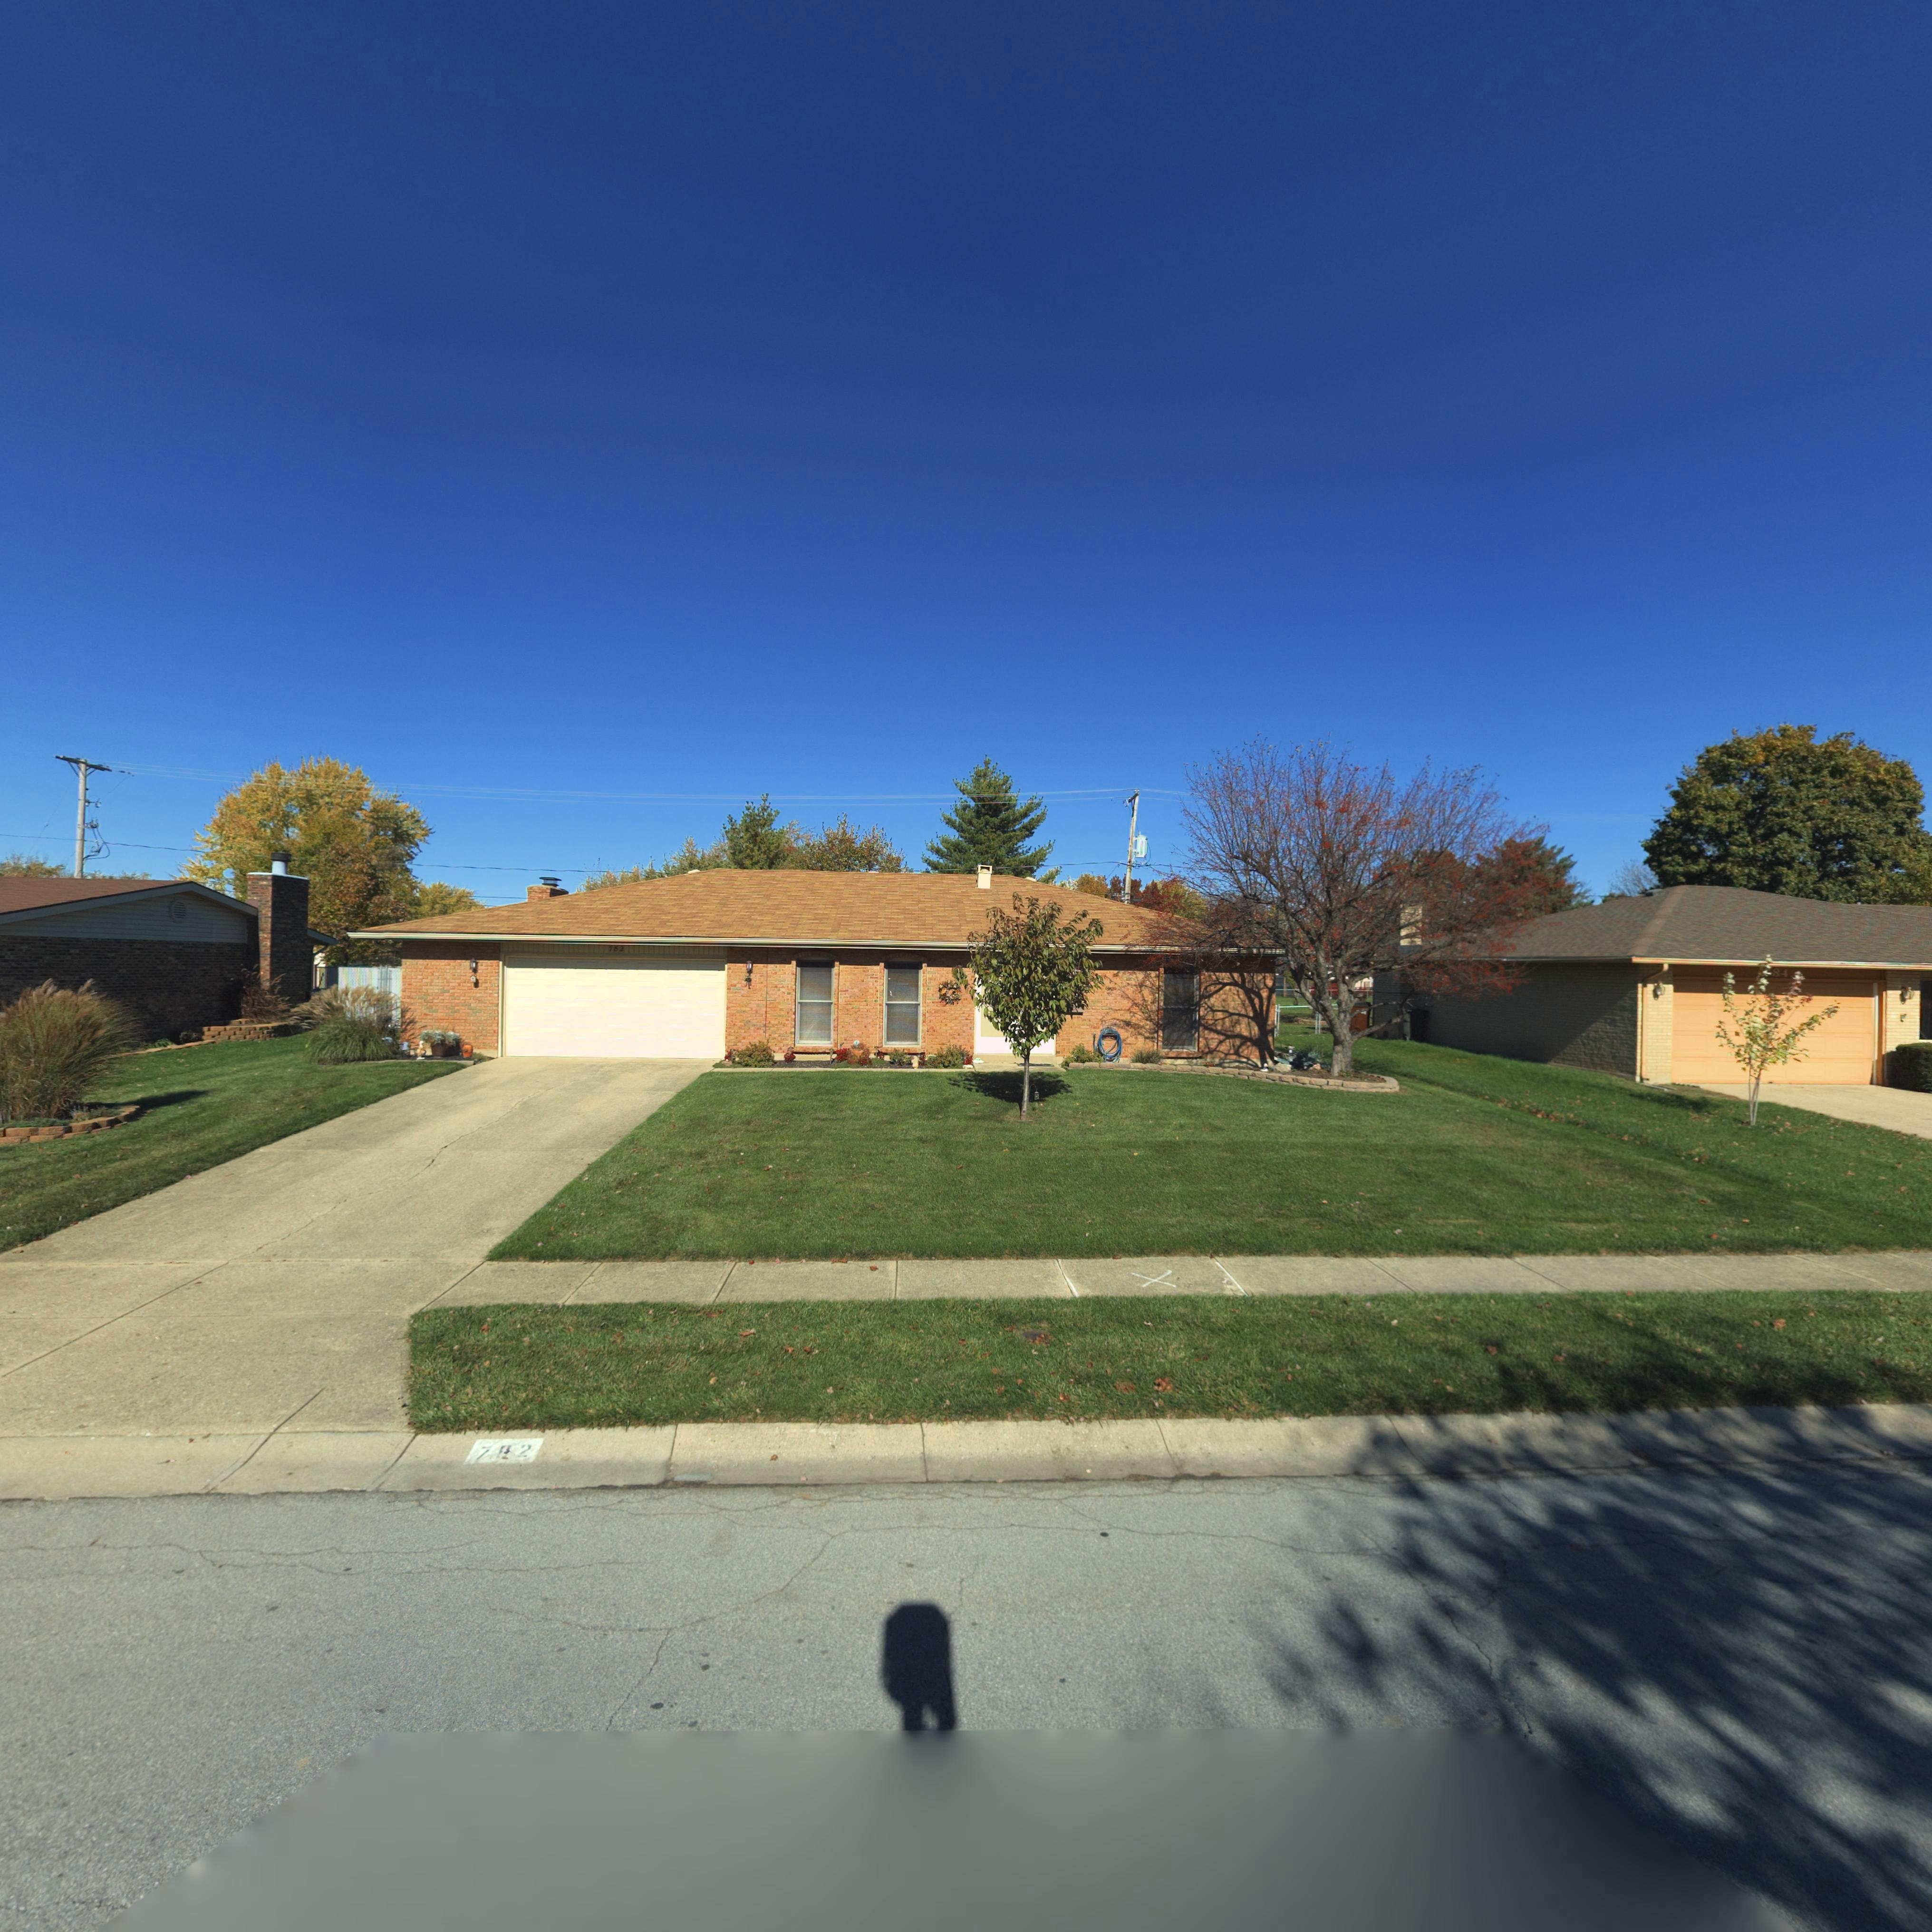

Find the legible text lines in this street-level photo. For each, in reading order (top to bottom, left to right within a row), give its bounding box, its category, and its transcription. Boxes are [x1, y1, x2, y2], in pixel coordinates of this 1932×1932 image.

[608, 945, 625, 952] StreetNumber: 782
[1772, 967, 1788, 978] StreetNumber: 84
[474, 1443, 533, 1460] StreetNumber: 782